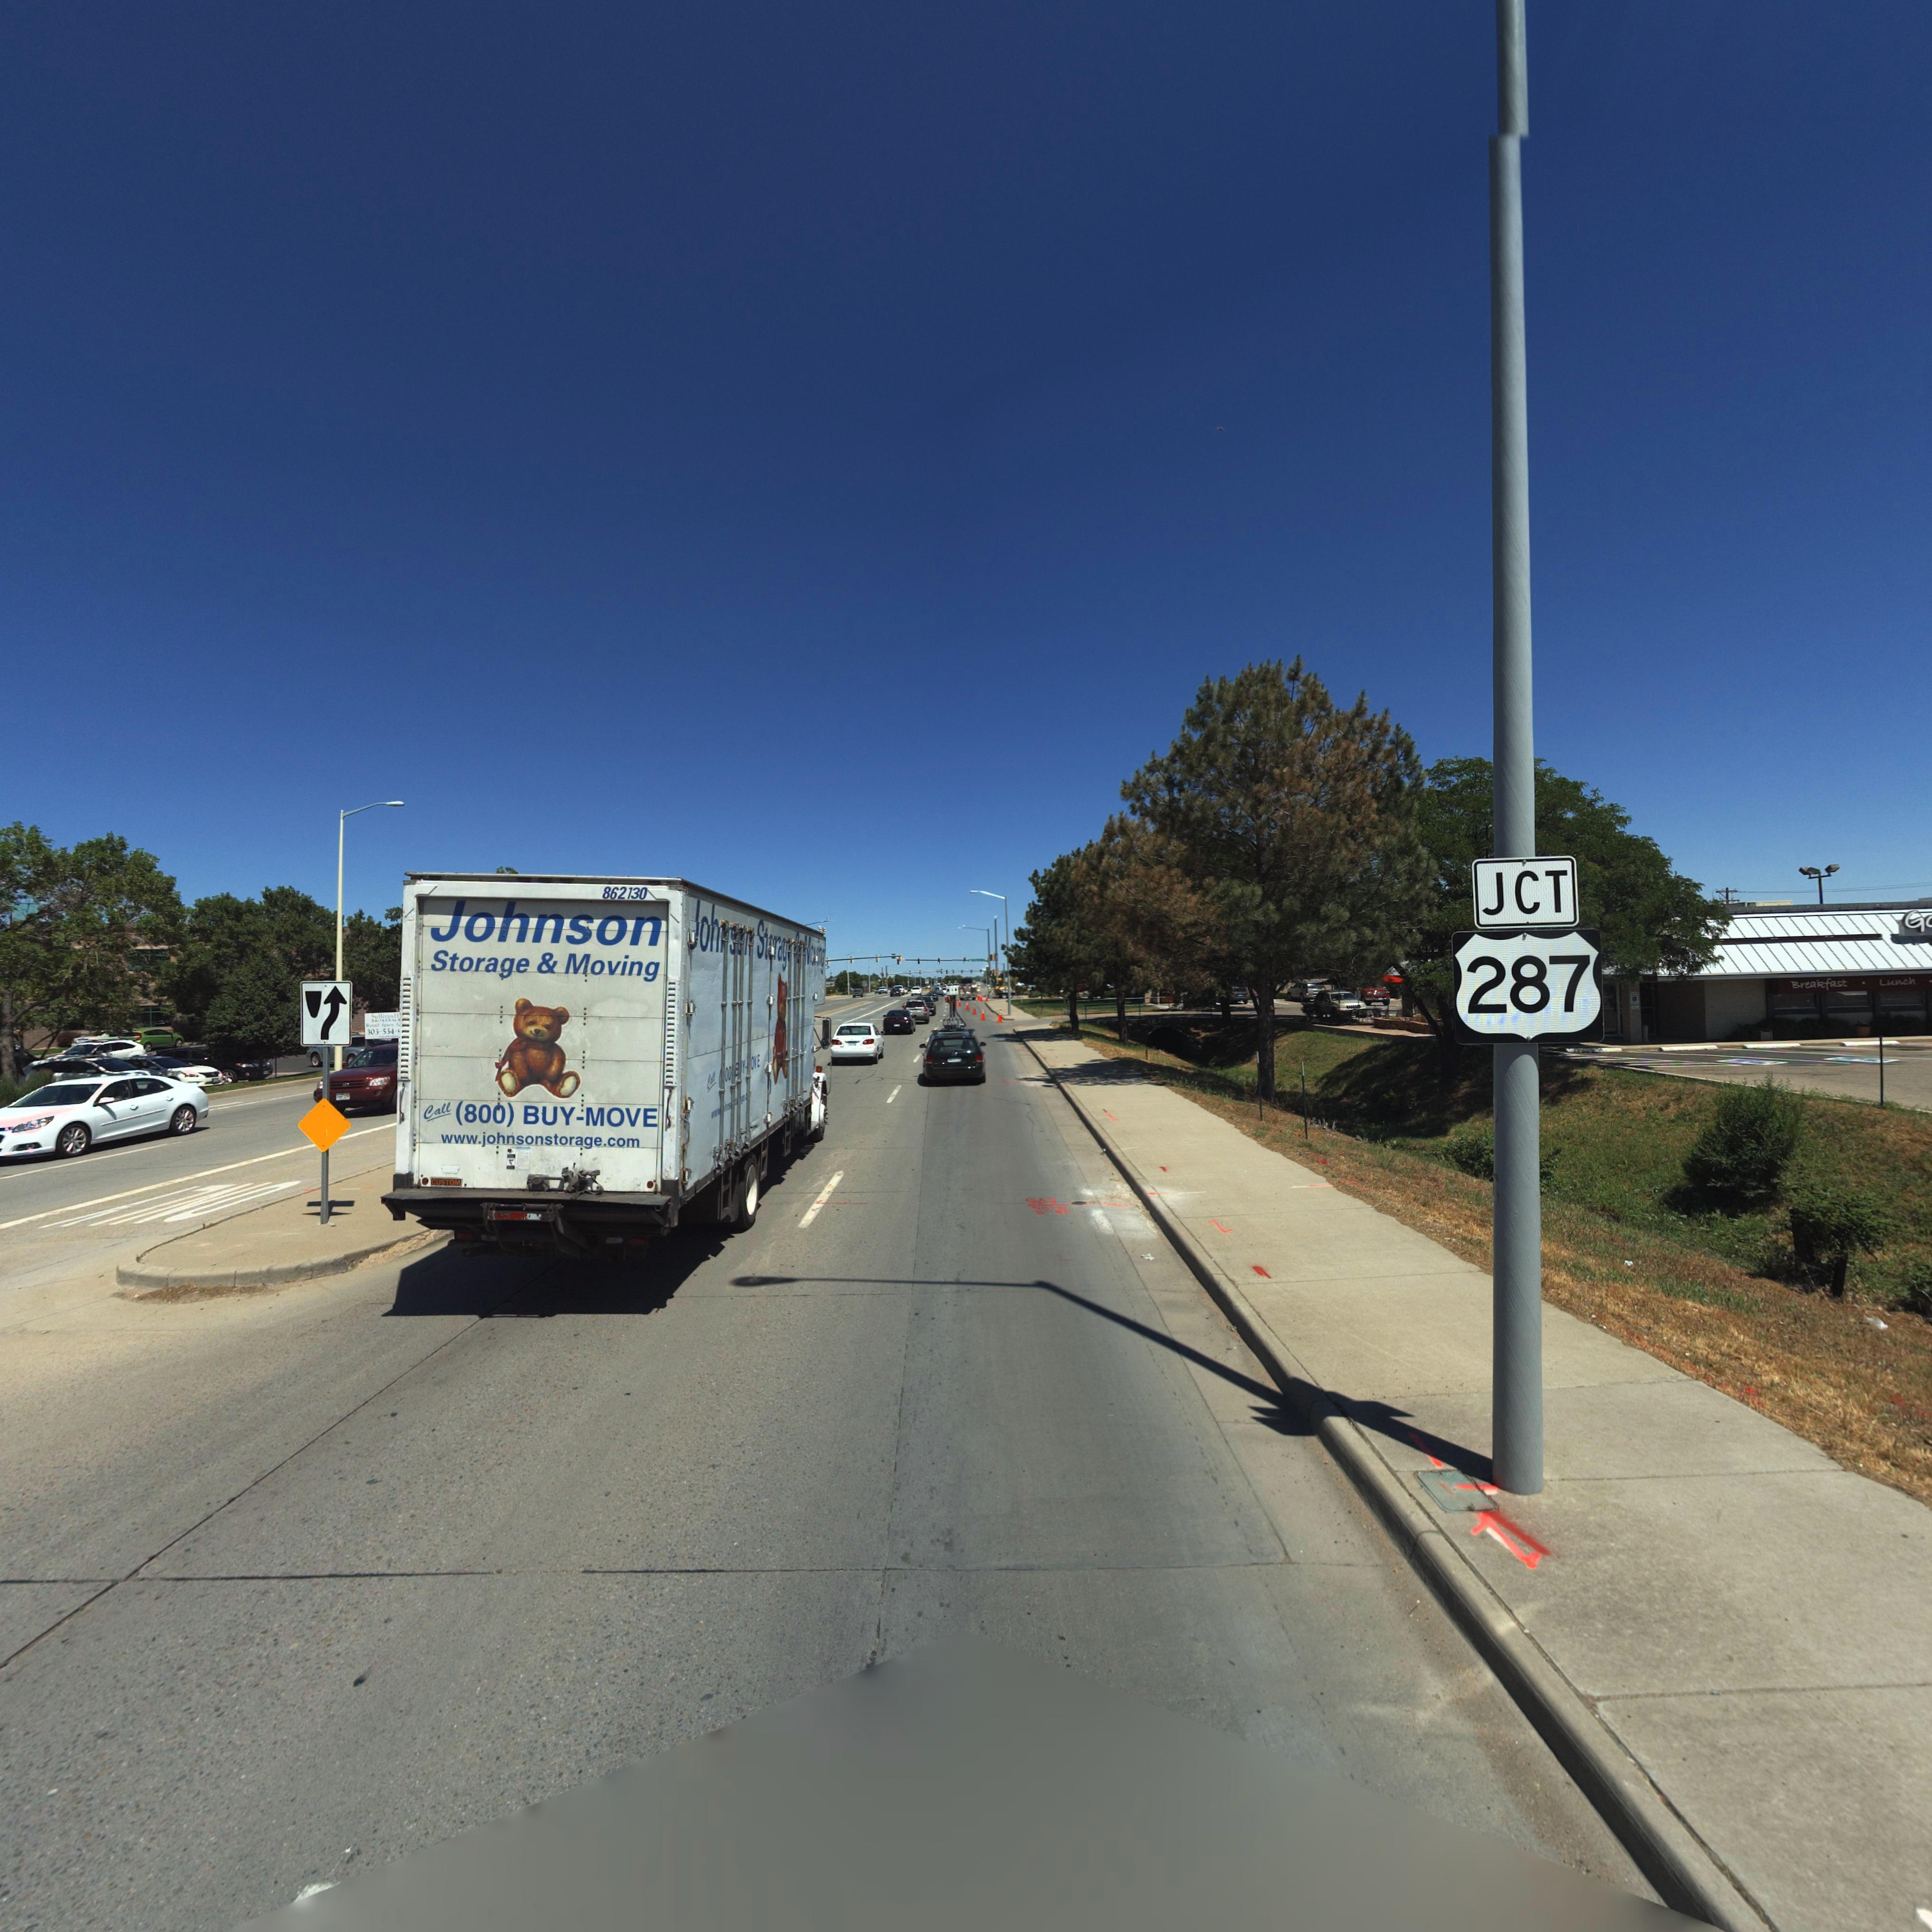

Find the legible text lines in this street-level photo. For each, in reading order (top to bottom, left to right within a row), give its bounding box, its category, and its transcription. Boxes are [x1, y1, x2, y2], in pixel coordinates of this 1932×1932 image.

[1902, 908, 1926, 934] BusinessName: G